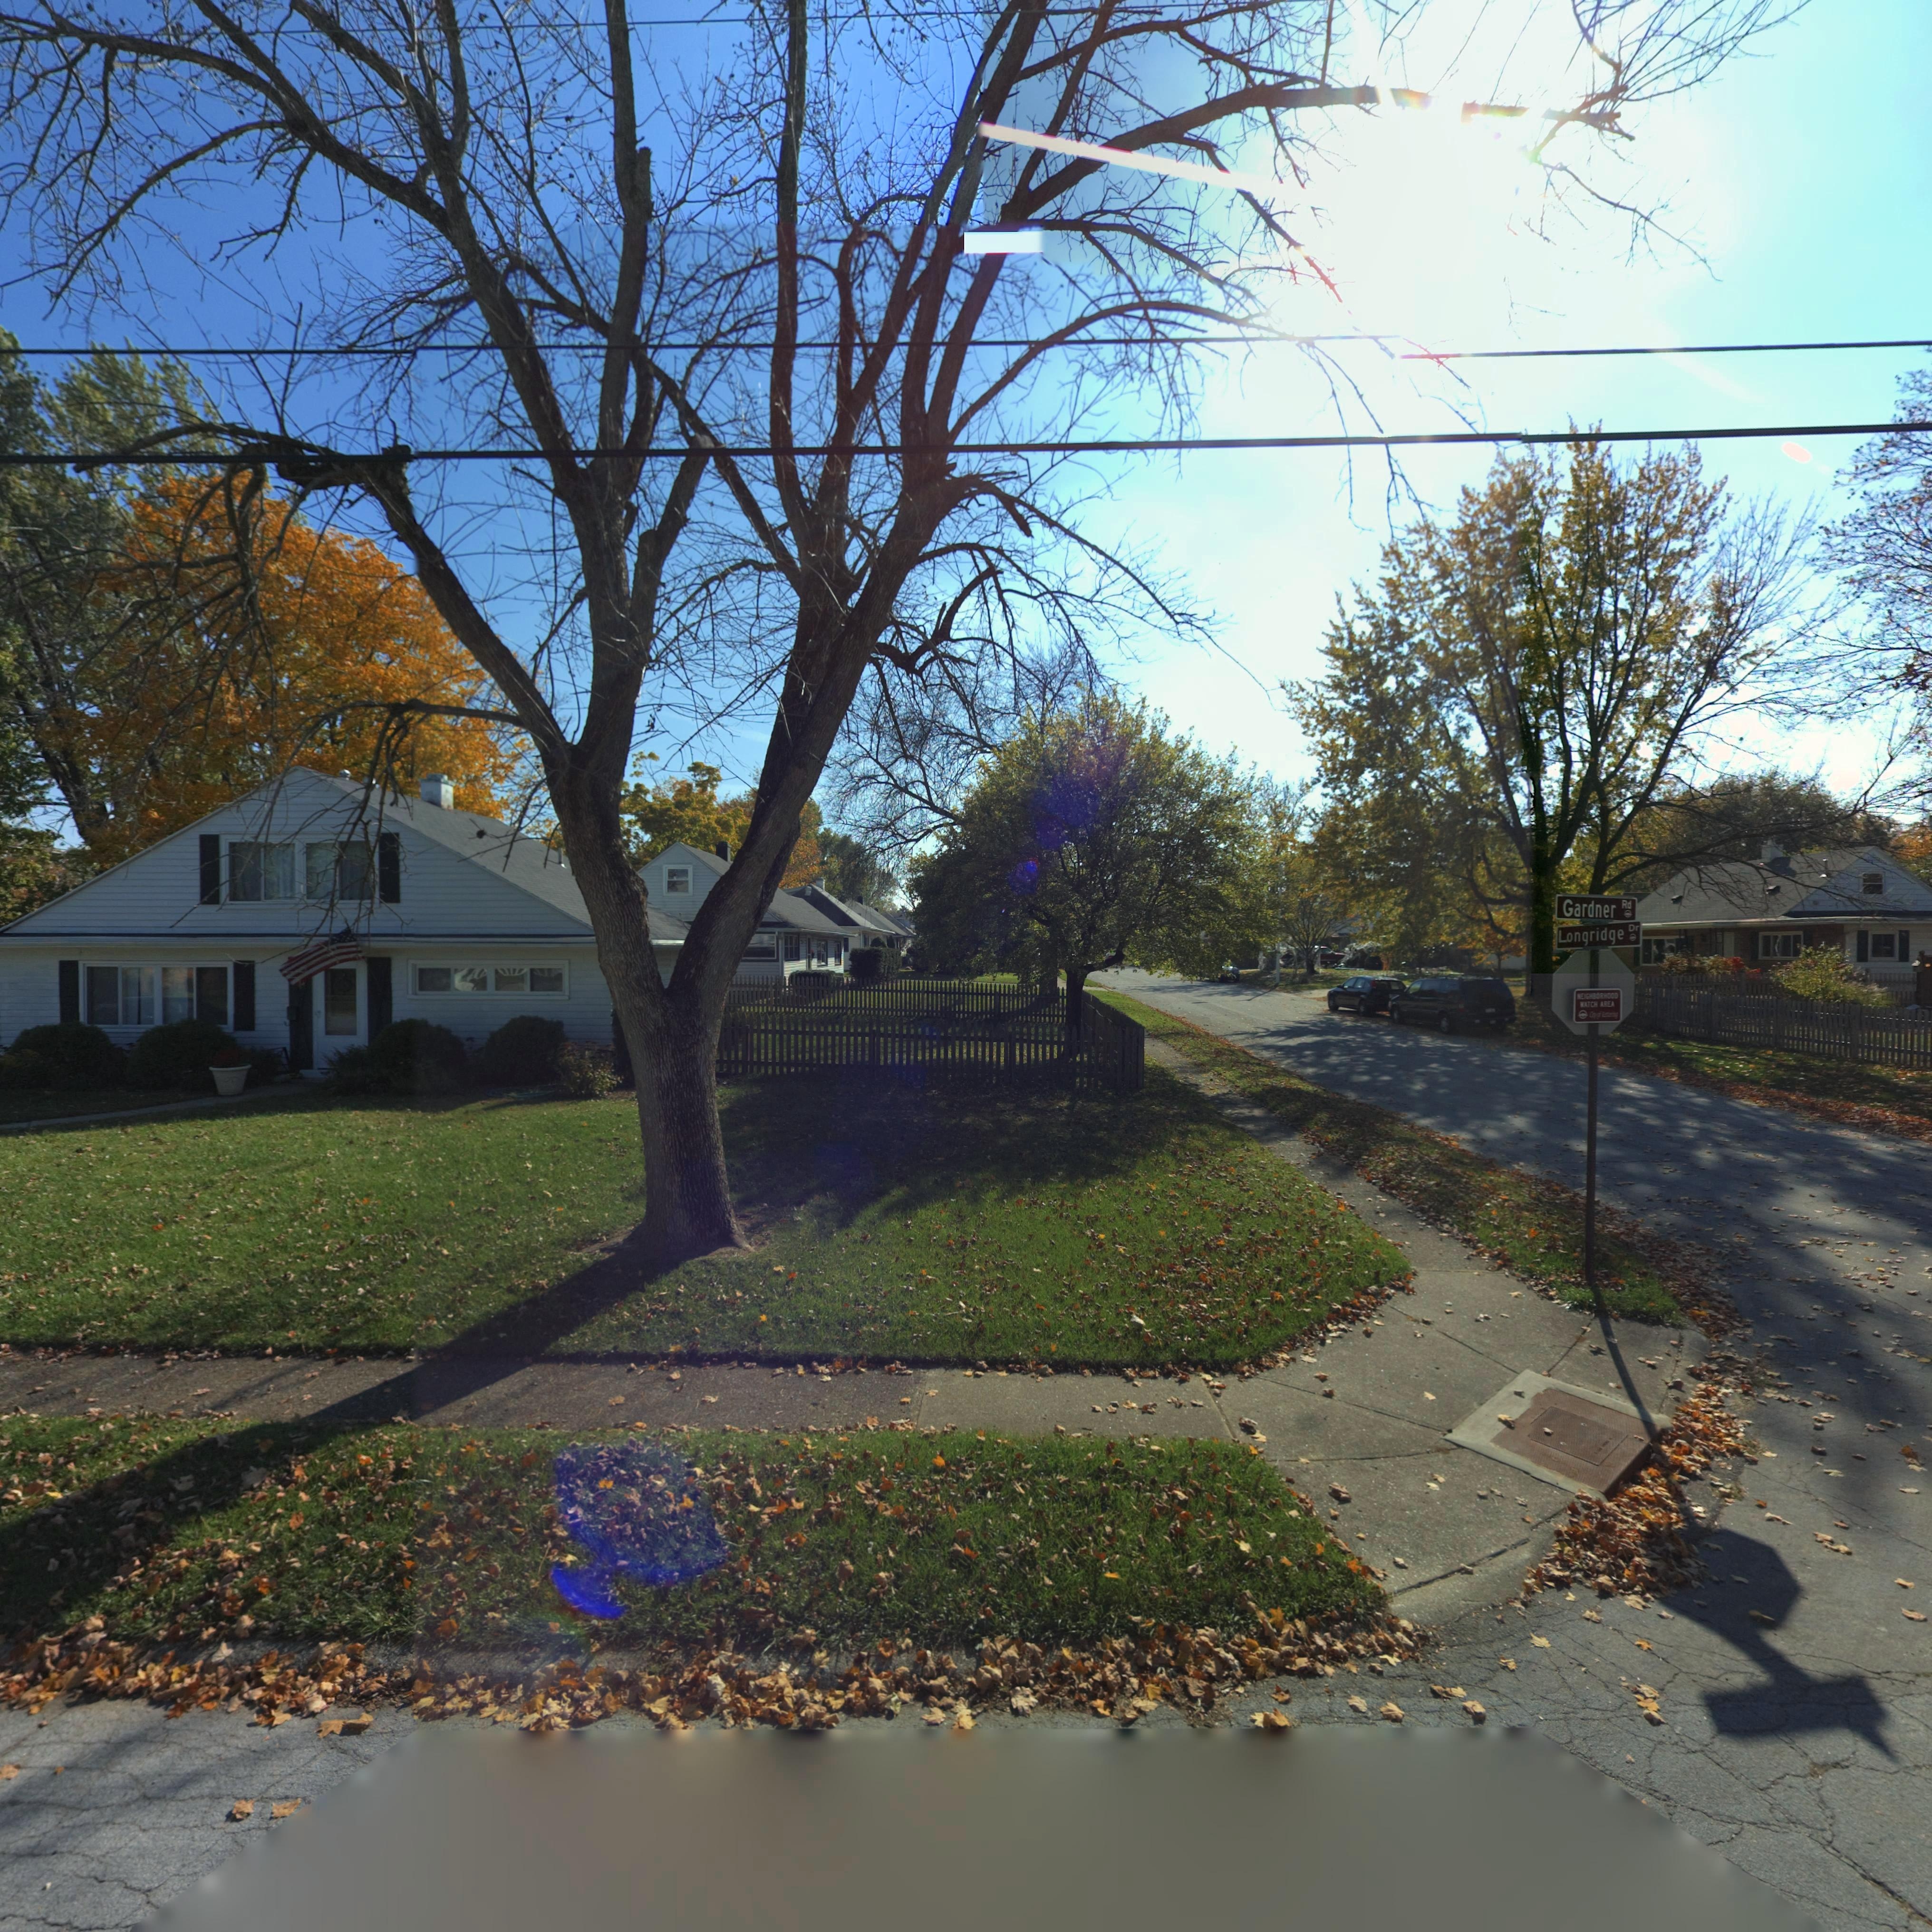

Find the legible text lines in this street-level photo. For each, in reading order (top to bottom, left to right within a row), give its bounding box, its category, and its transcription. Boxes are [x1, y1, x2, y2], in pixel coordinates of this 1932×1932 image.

[1561, 897, 1633, 920] StreetName: Gardner Rd
[1557, 922, 1640, 947] StreetName: Longridge Dr
[1576, 991, 1619, 1001] None: NEIGHBORHOOD
[1579, 999, 1616, 1009] None: WATCH AREA